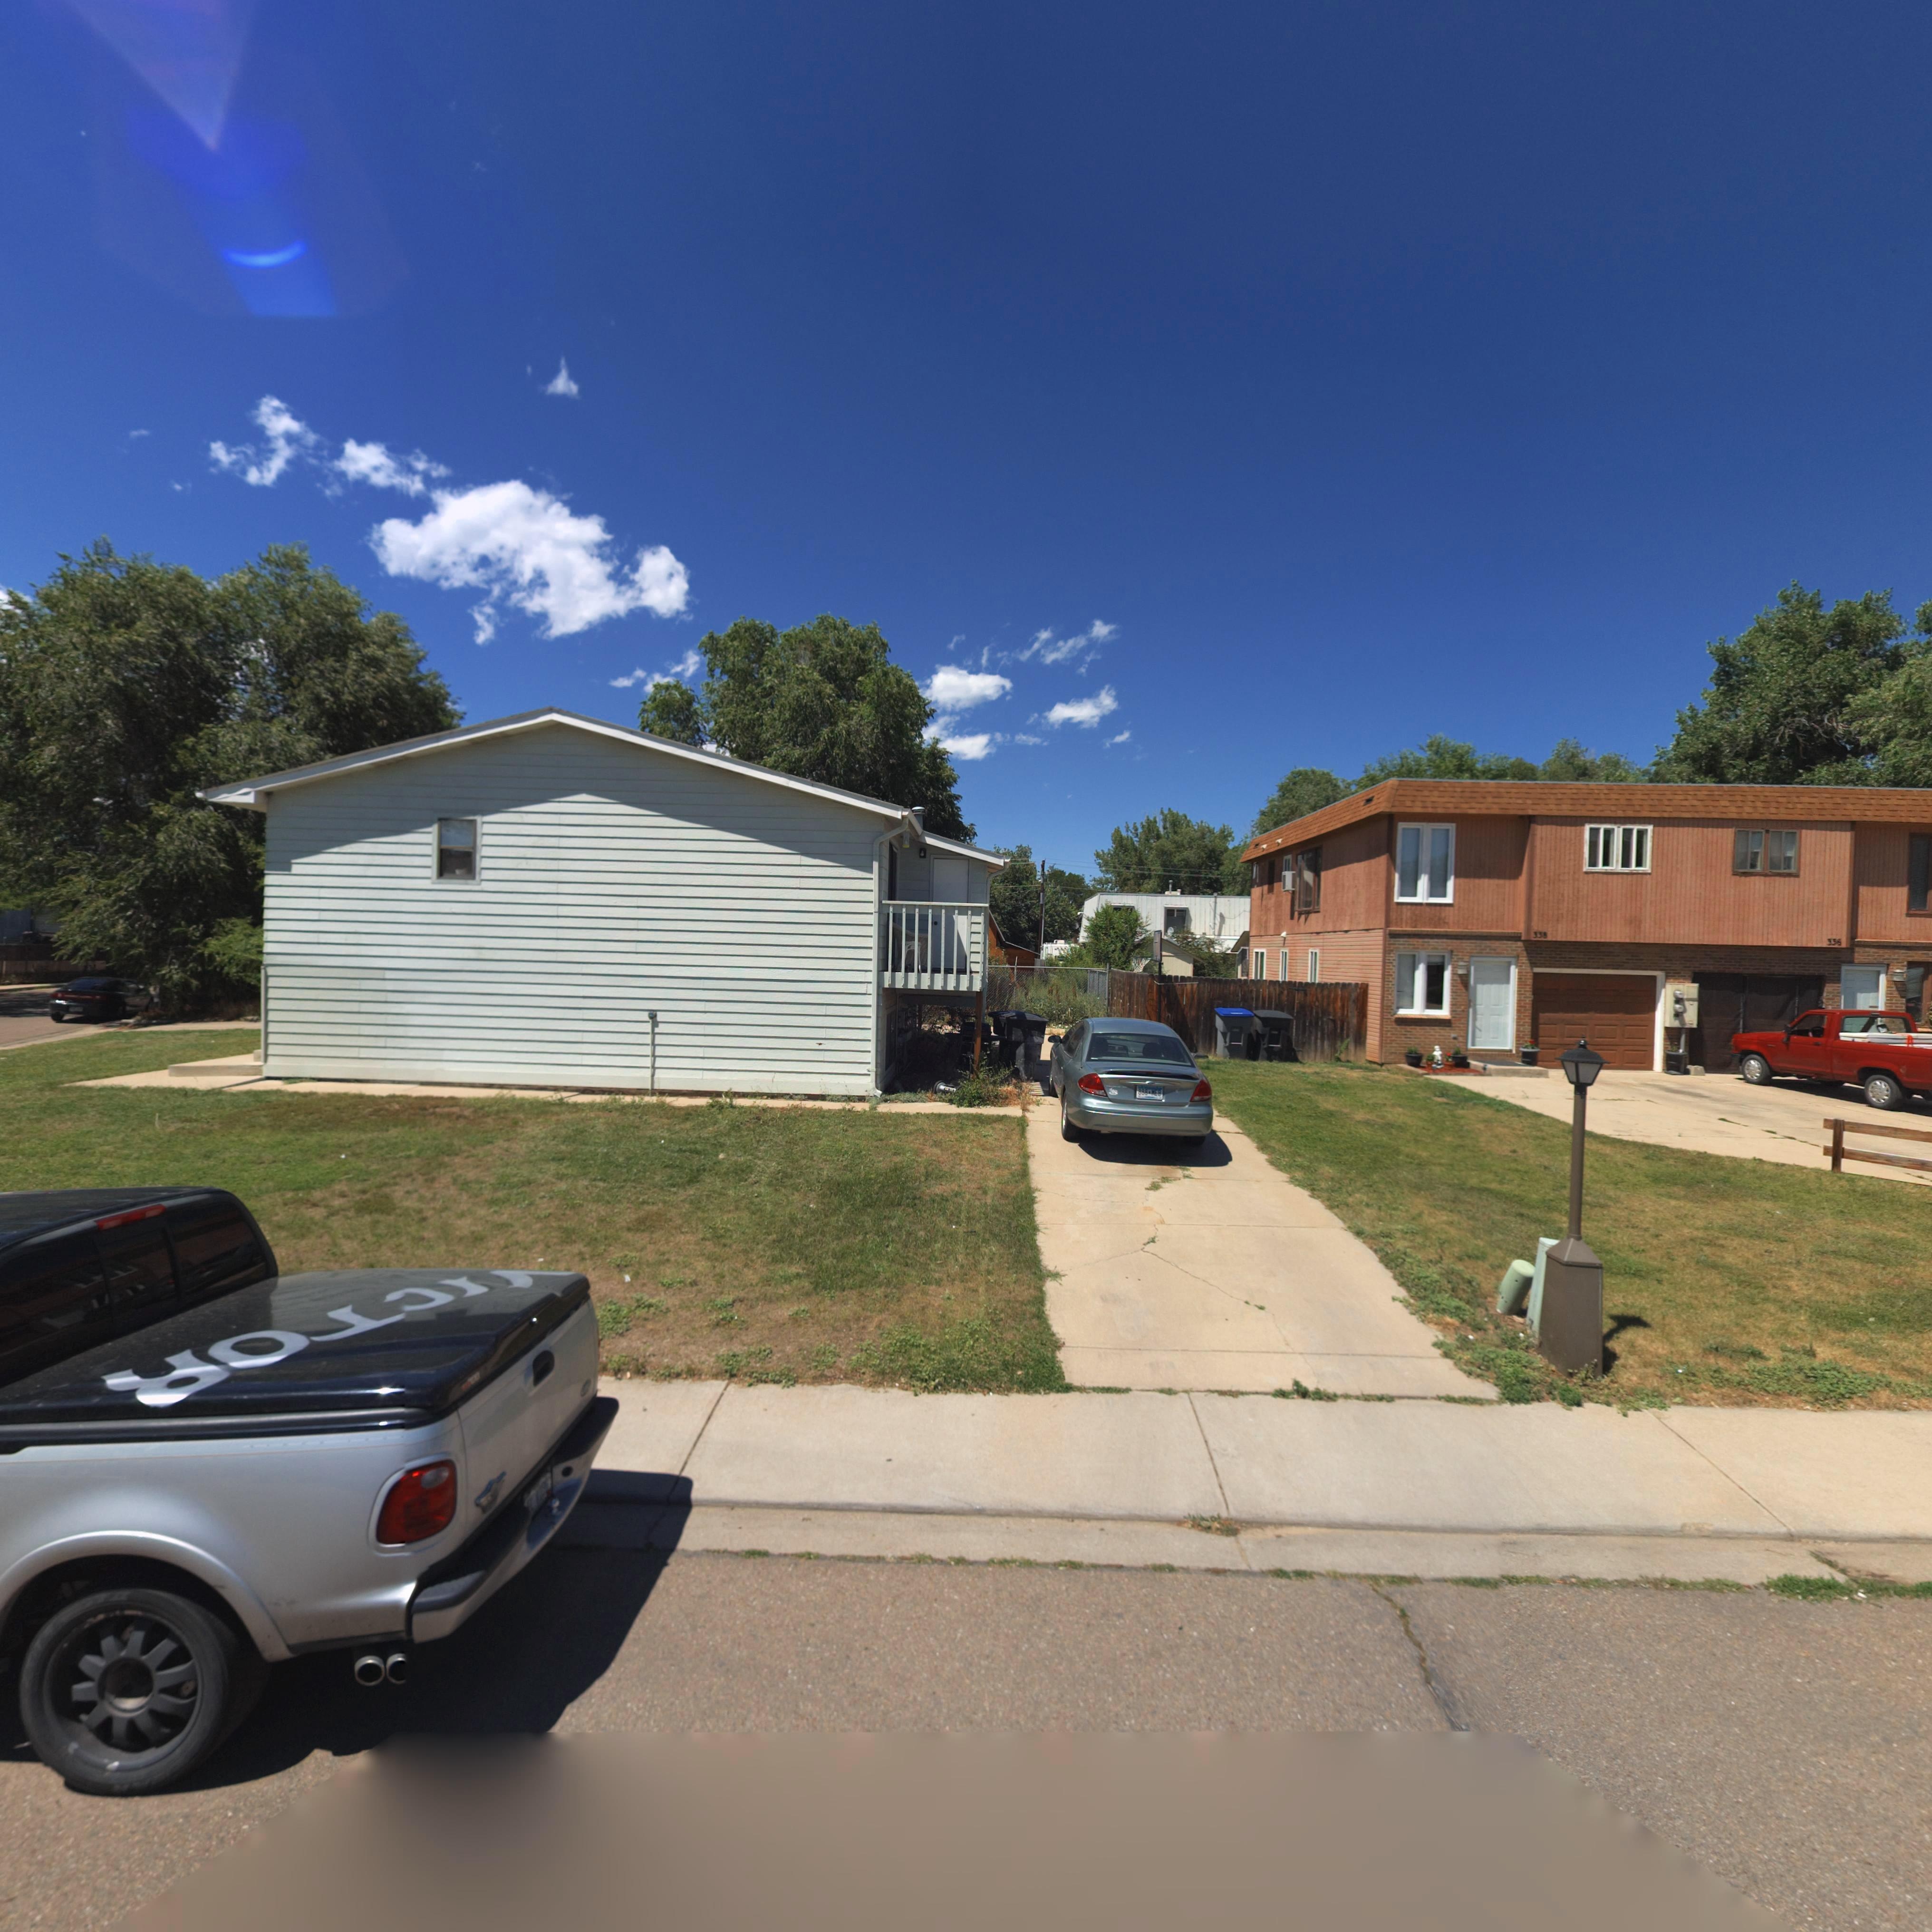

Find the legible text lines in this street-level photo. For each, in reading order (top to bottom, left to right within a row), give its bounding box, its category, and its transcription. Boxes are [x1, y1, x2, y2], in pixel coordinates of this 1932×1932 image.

[1532, 931, 1547, 938] StreetNumber: 338
[1826, 938, 1841, 946] StreetNumber:  3**